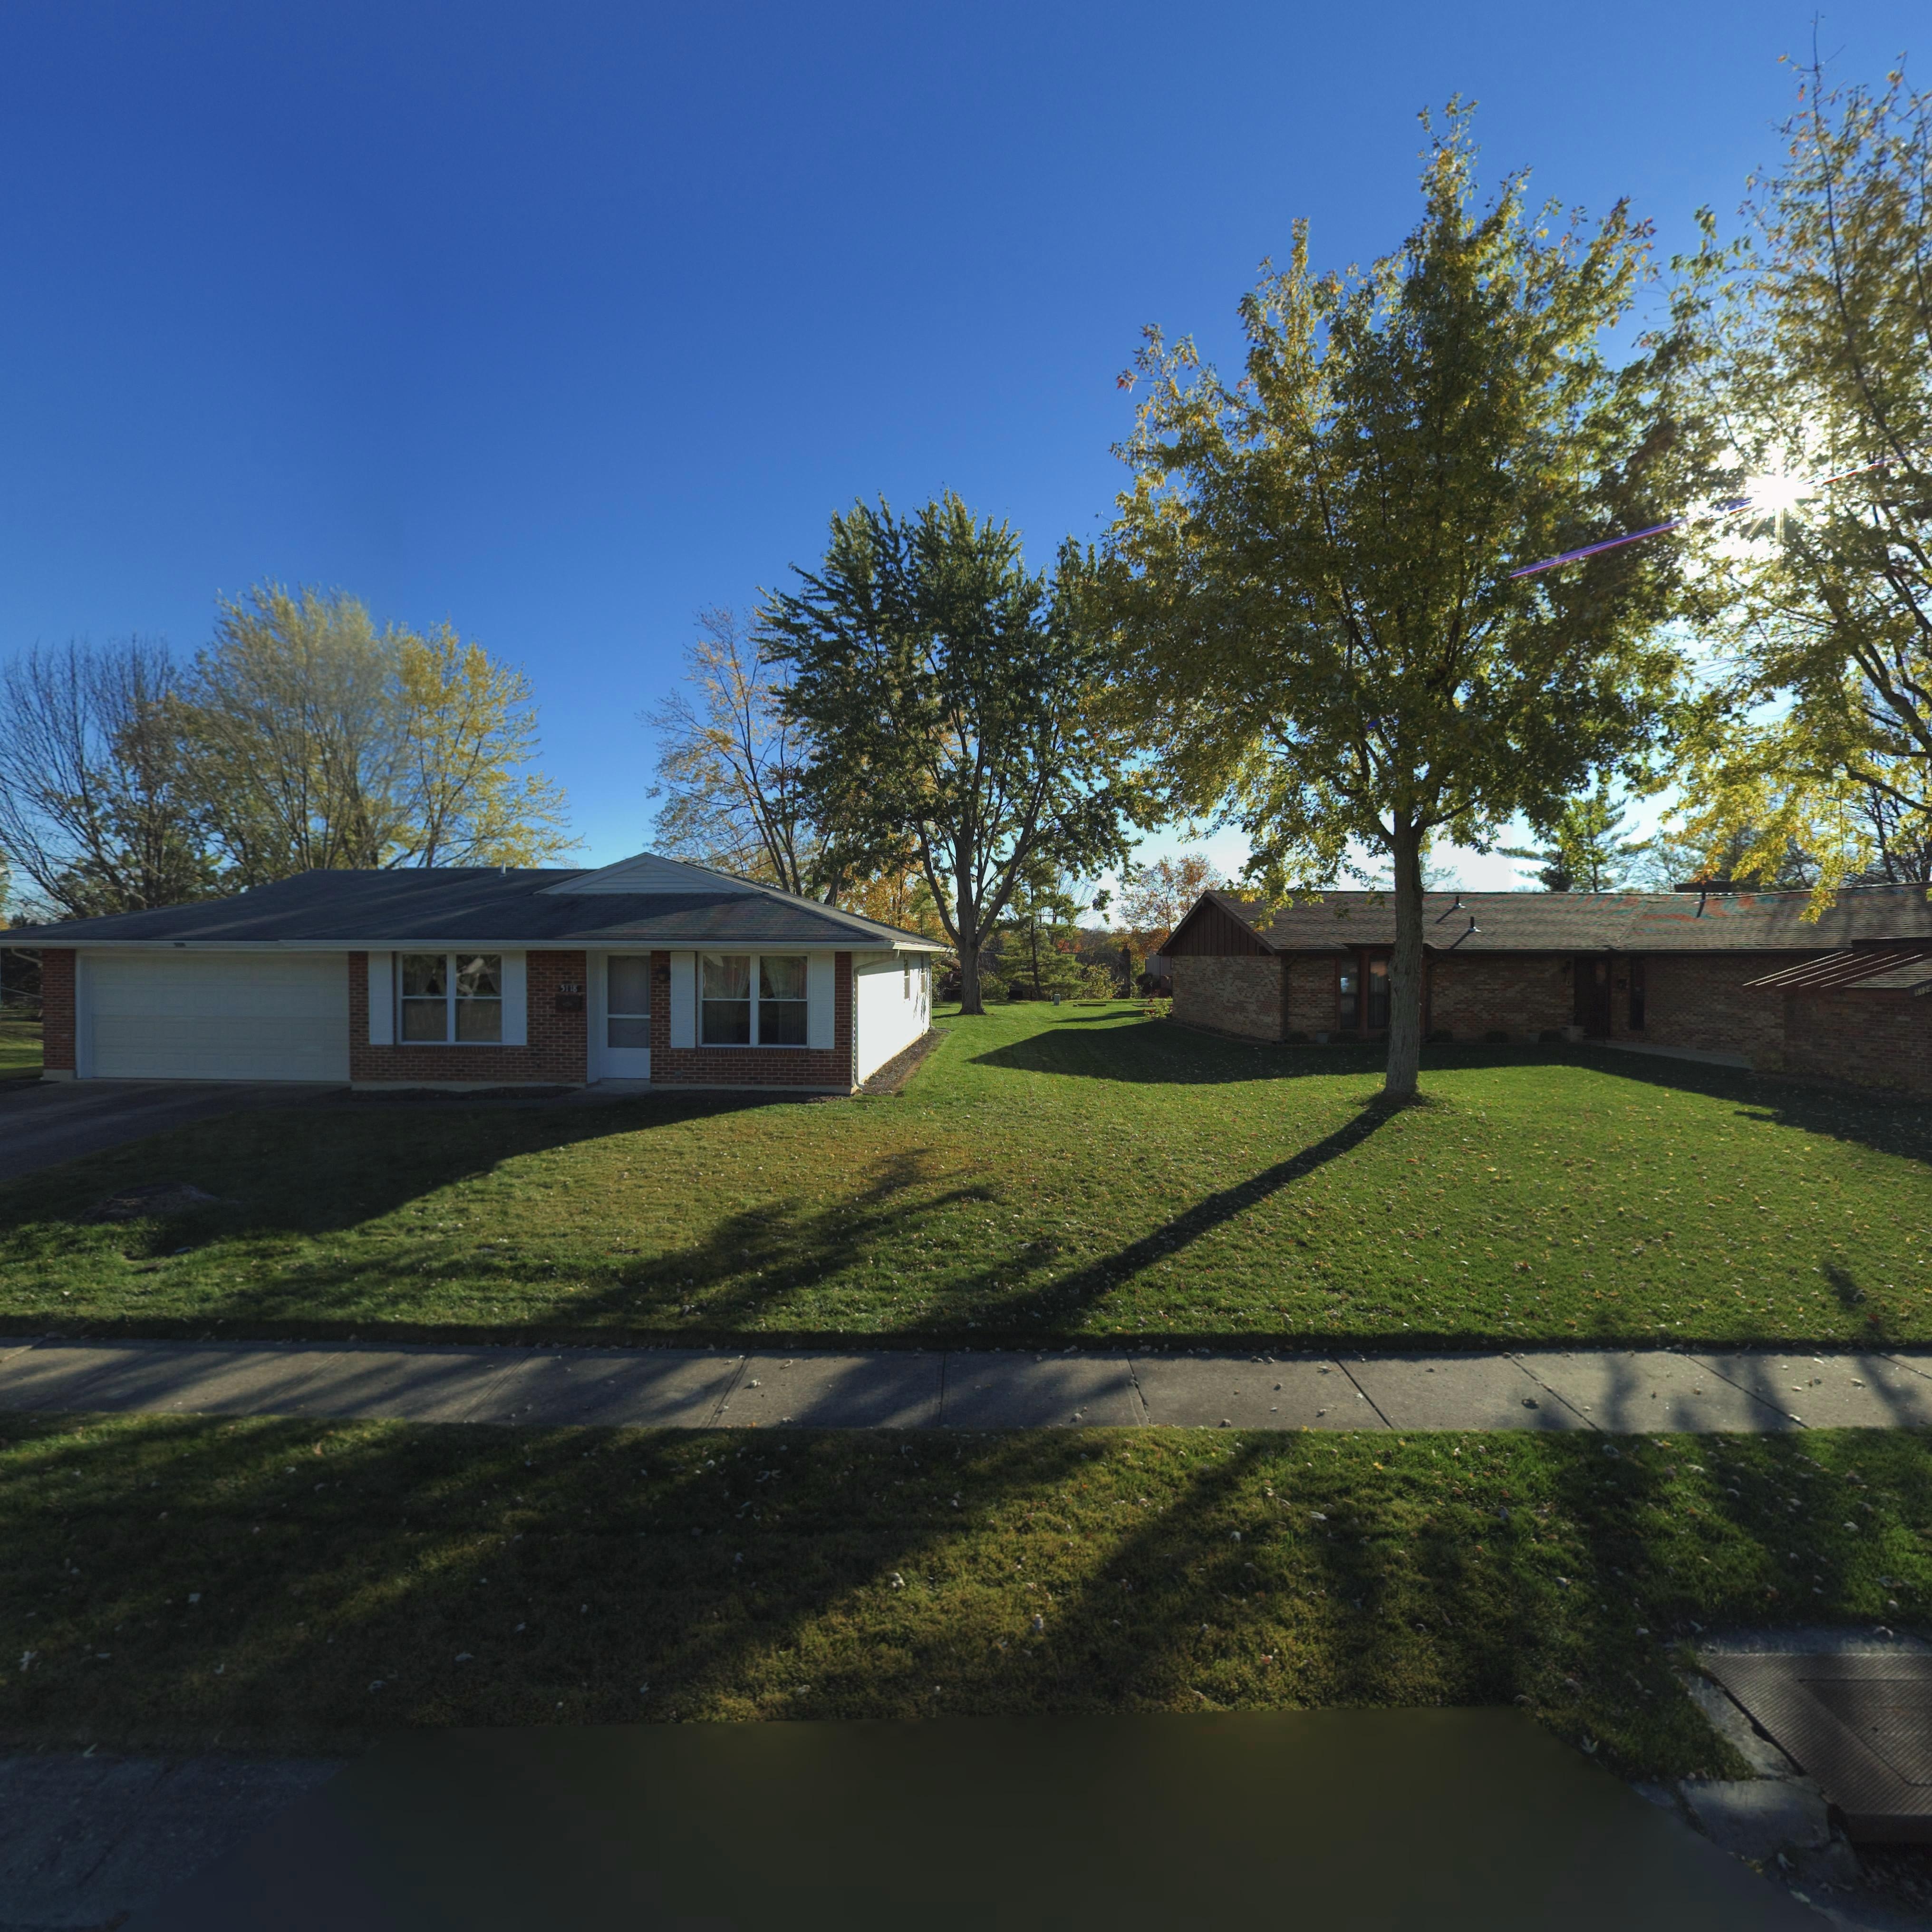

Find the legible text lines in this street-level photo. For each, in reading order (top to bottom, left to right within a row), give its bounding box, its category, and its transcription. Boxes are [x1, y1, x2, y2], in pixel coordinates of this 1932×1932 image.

[560, 984, 579, 993] StreetNumber: 5118
[1916, 984, 1932, 997] StreetNumber: 5124